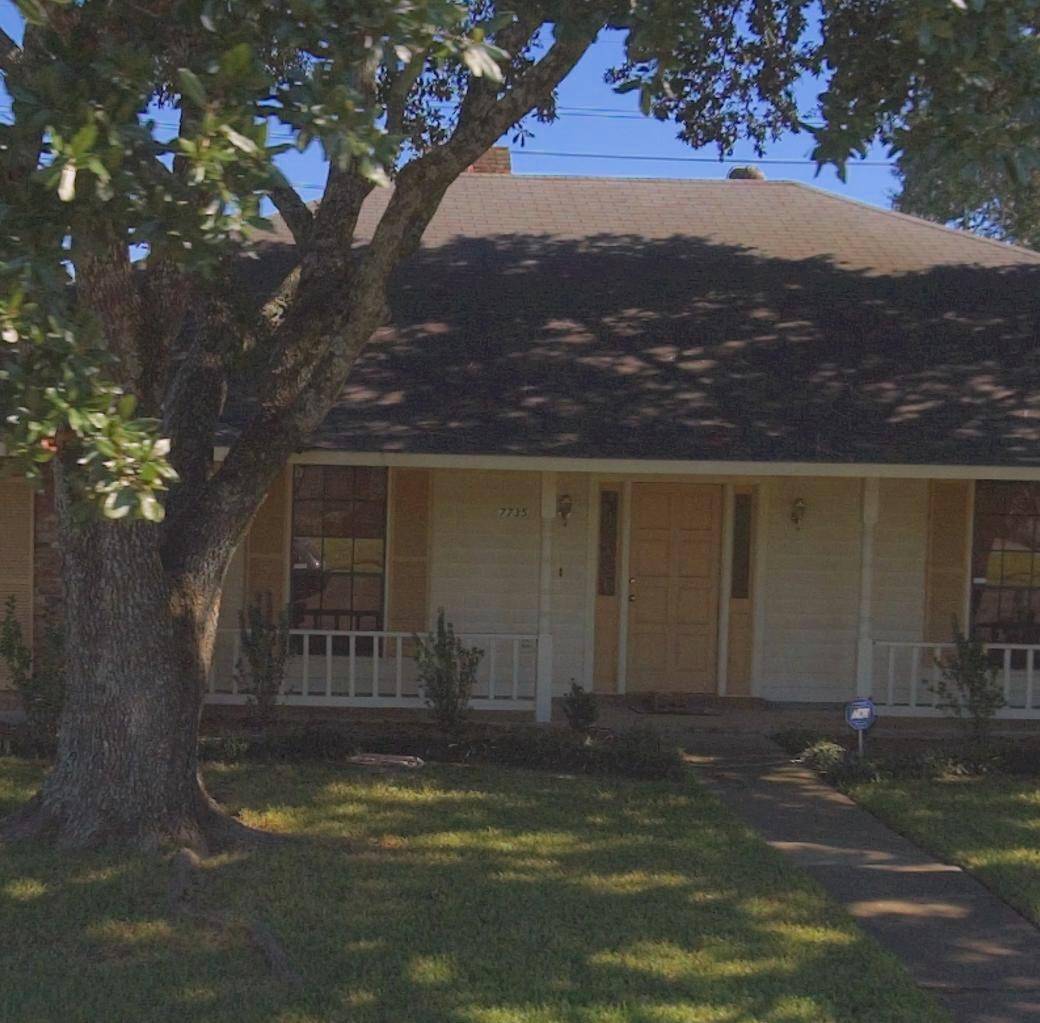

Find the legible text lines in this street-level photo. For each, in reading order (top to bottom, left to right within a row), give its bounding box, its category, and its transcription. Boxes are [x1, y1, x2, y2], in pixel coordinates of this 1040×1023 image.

[498, 507, 529, 518] StreetNumber: 7735
[849, 708, 871, 719] None: ADT